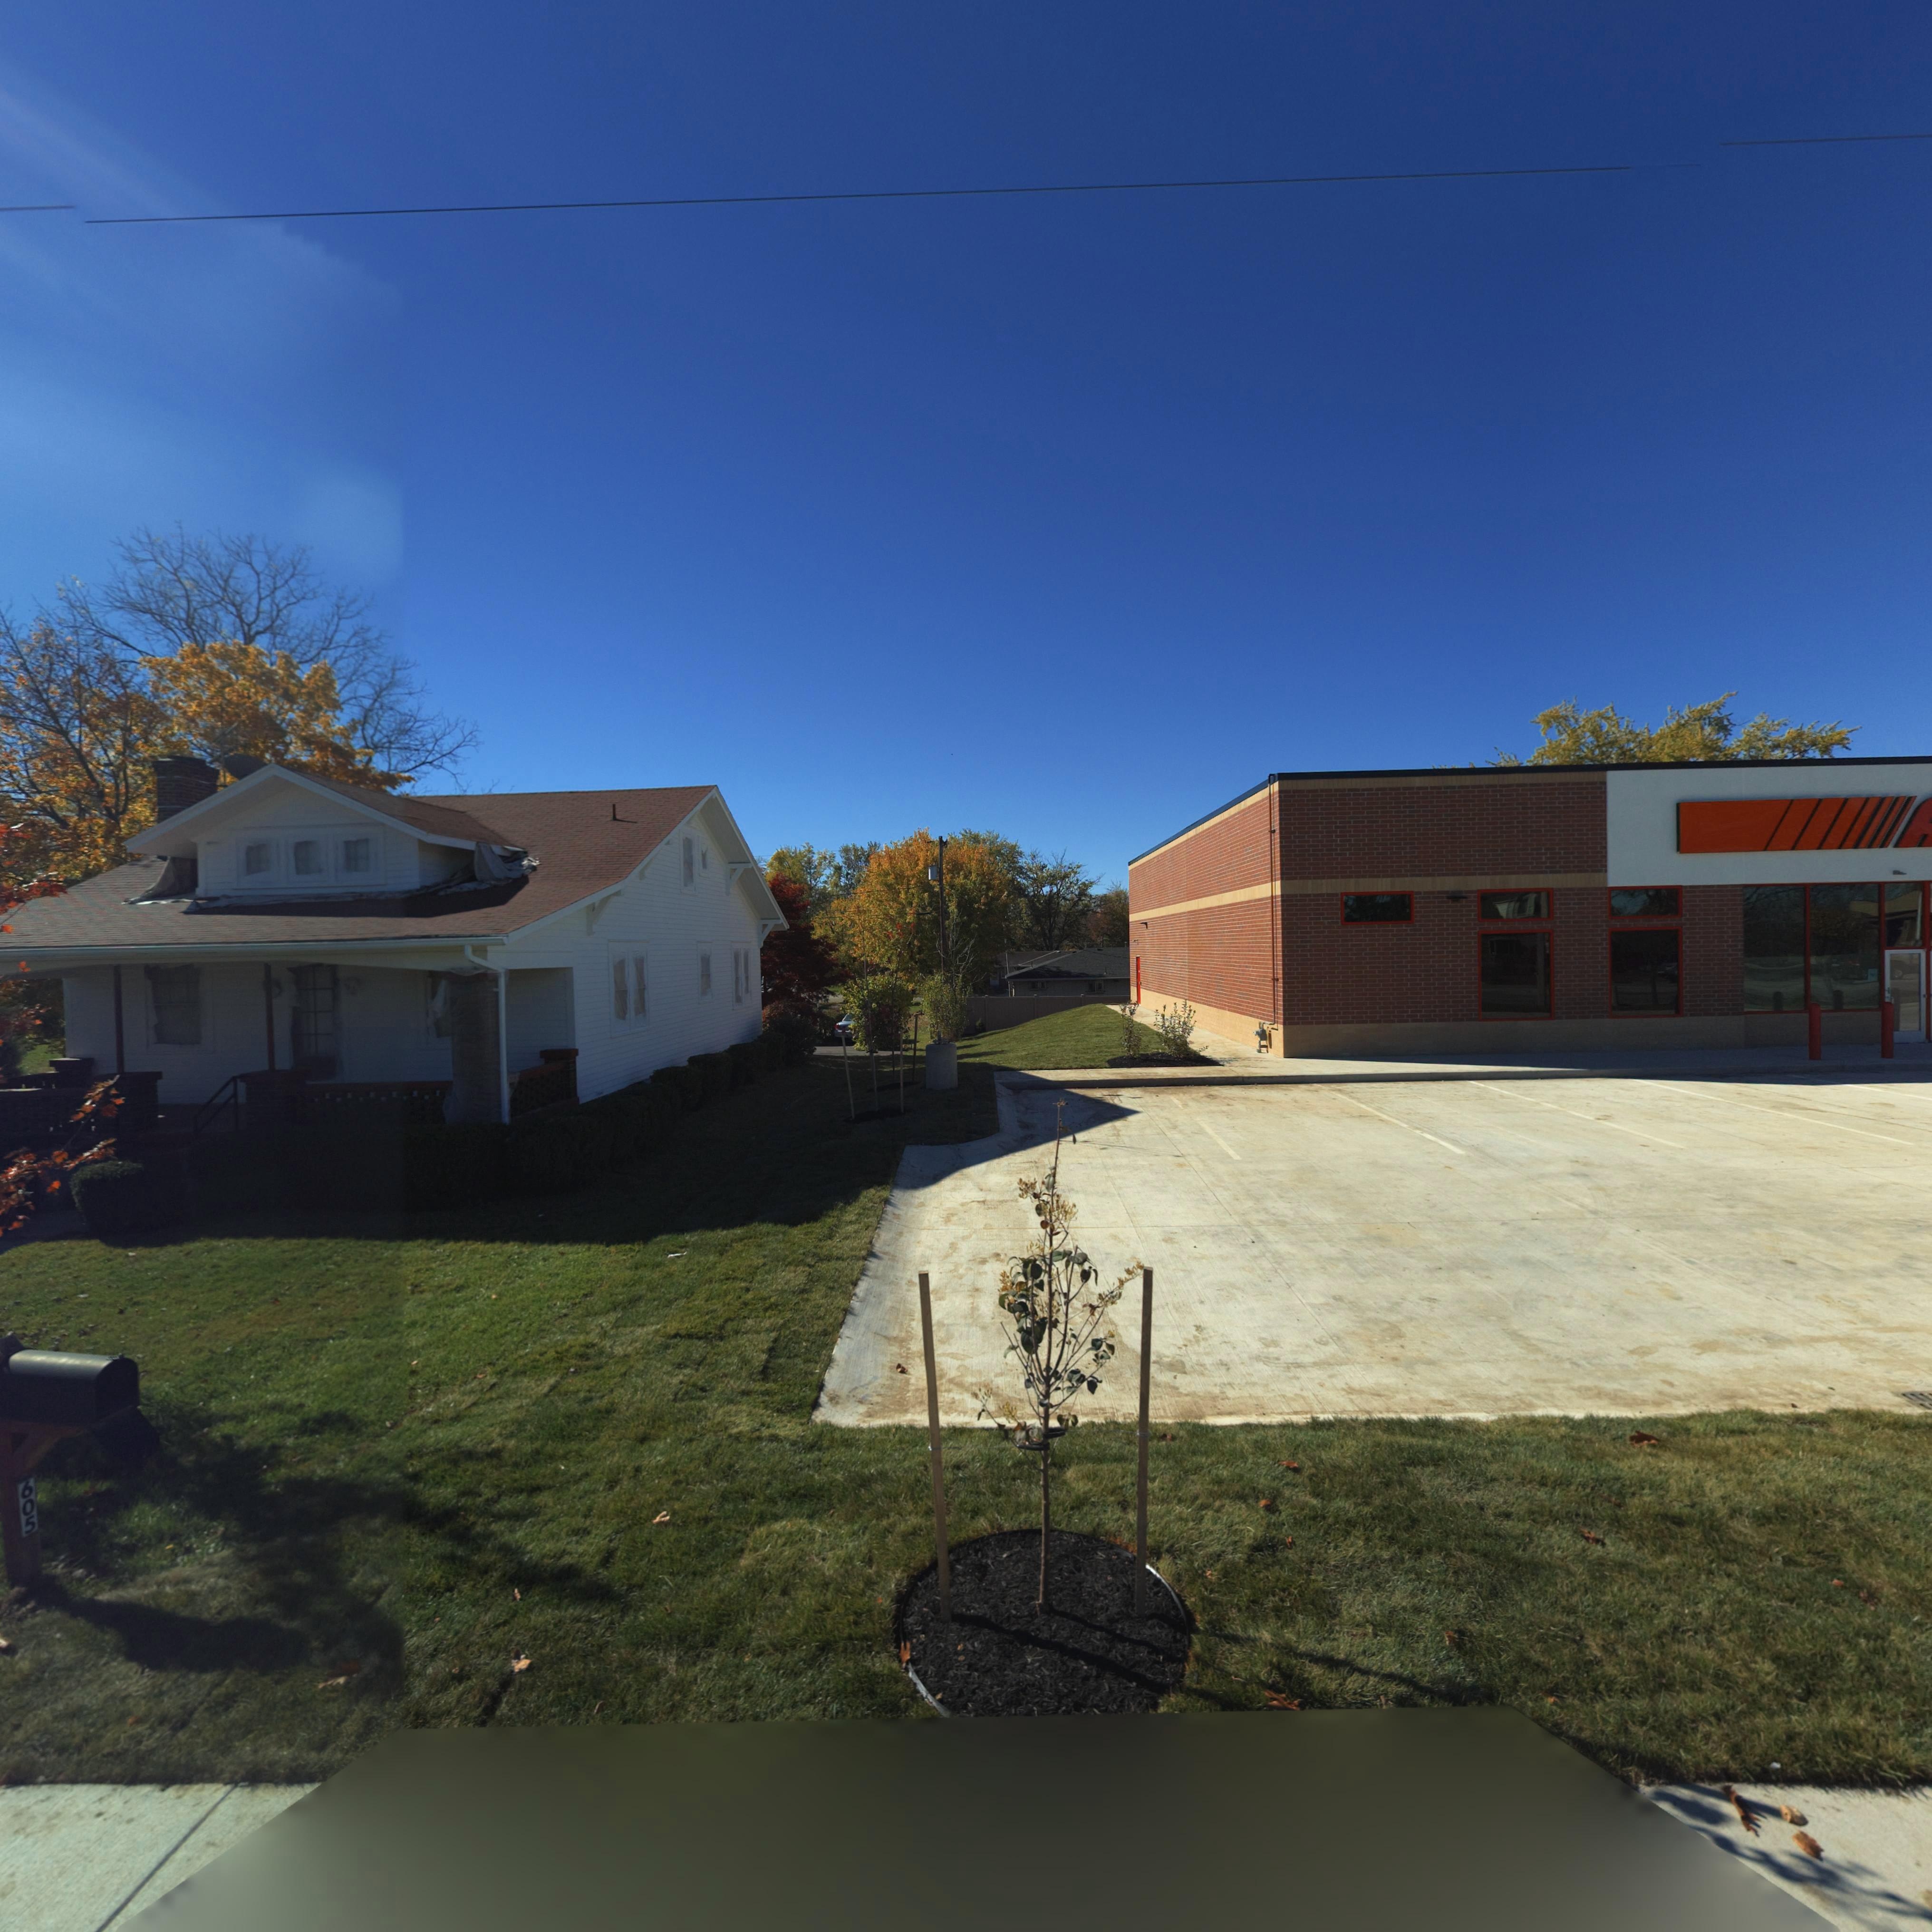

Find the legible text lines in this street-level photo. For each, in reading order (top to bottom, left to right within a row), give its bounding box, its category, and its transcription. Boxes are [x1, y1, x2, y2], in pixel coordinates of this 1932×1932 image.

[20, 1479, 38, 1536] StreetNumber: 605